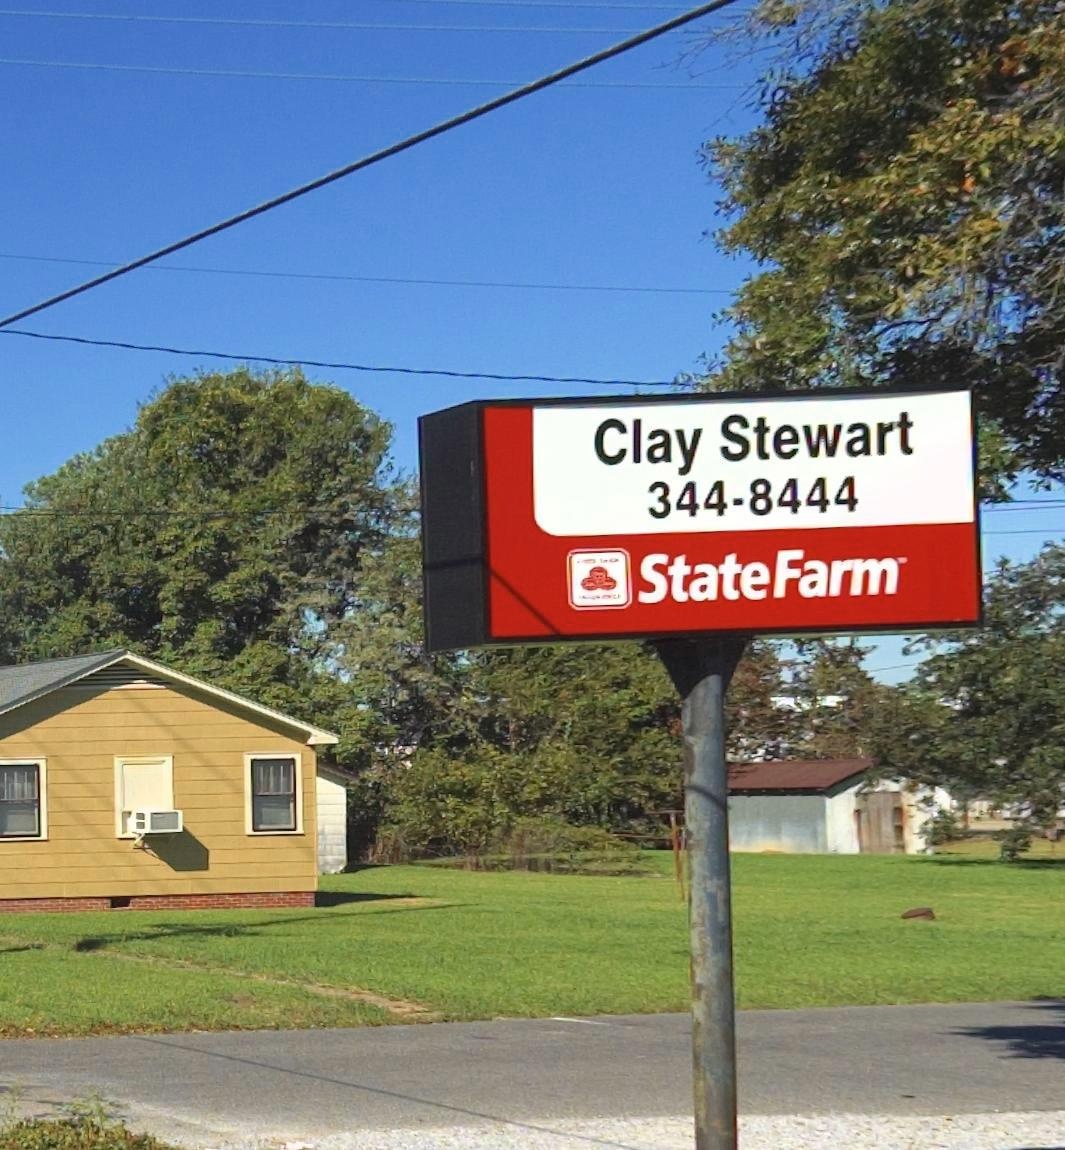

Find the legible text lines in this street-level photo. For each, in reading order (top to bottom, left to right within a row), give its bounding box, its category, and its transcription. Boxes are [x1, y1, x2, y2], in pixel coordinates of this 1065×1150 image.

[593, 410, 915, 476] None: Clay Stewart
[647, 475, 859, 520] None: 344-8444
[637, 548, 901, 605] BusinessName: State Farm